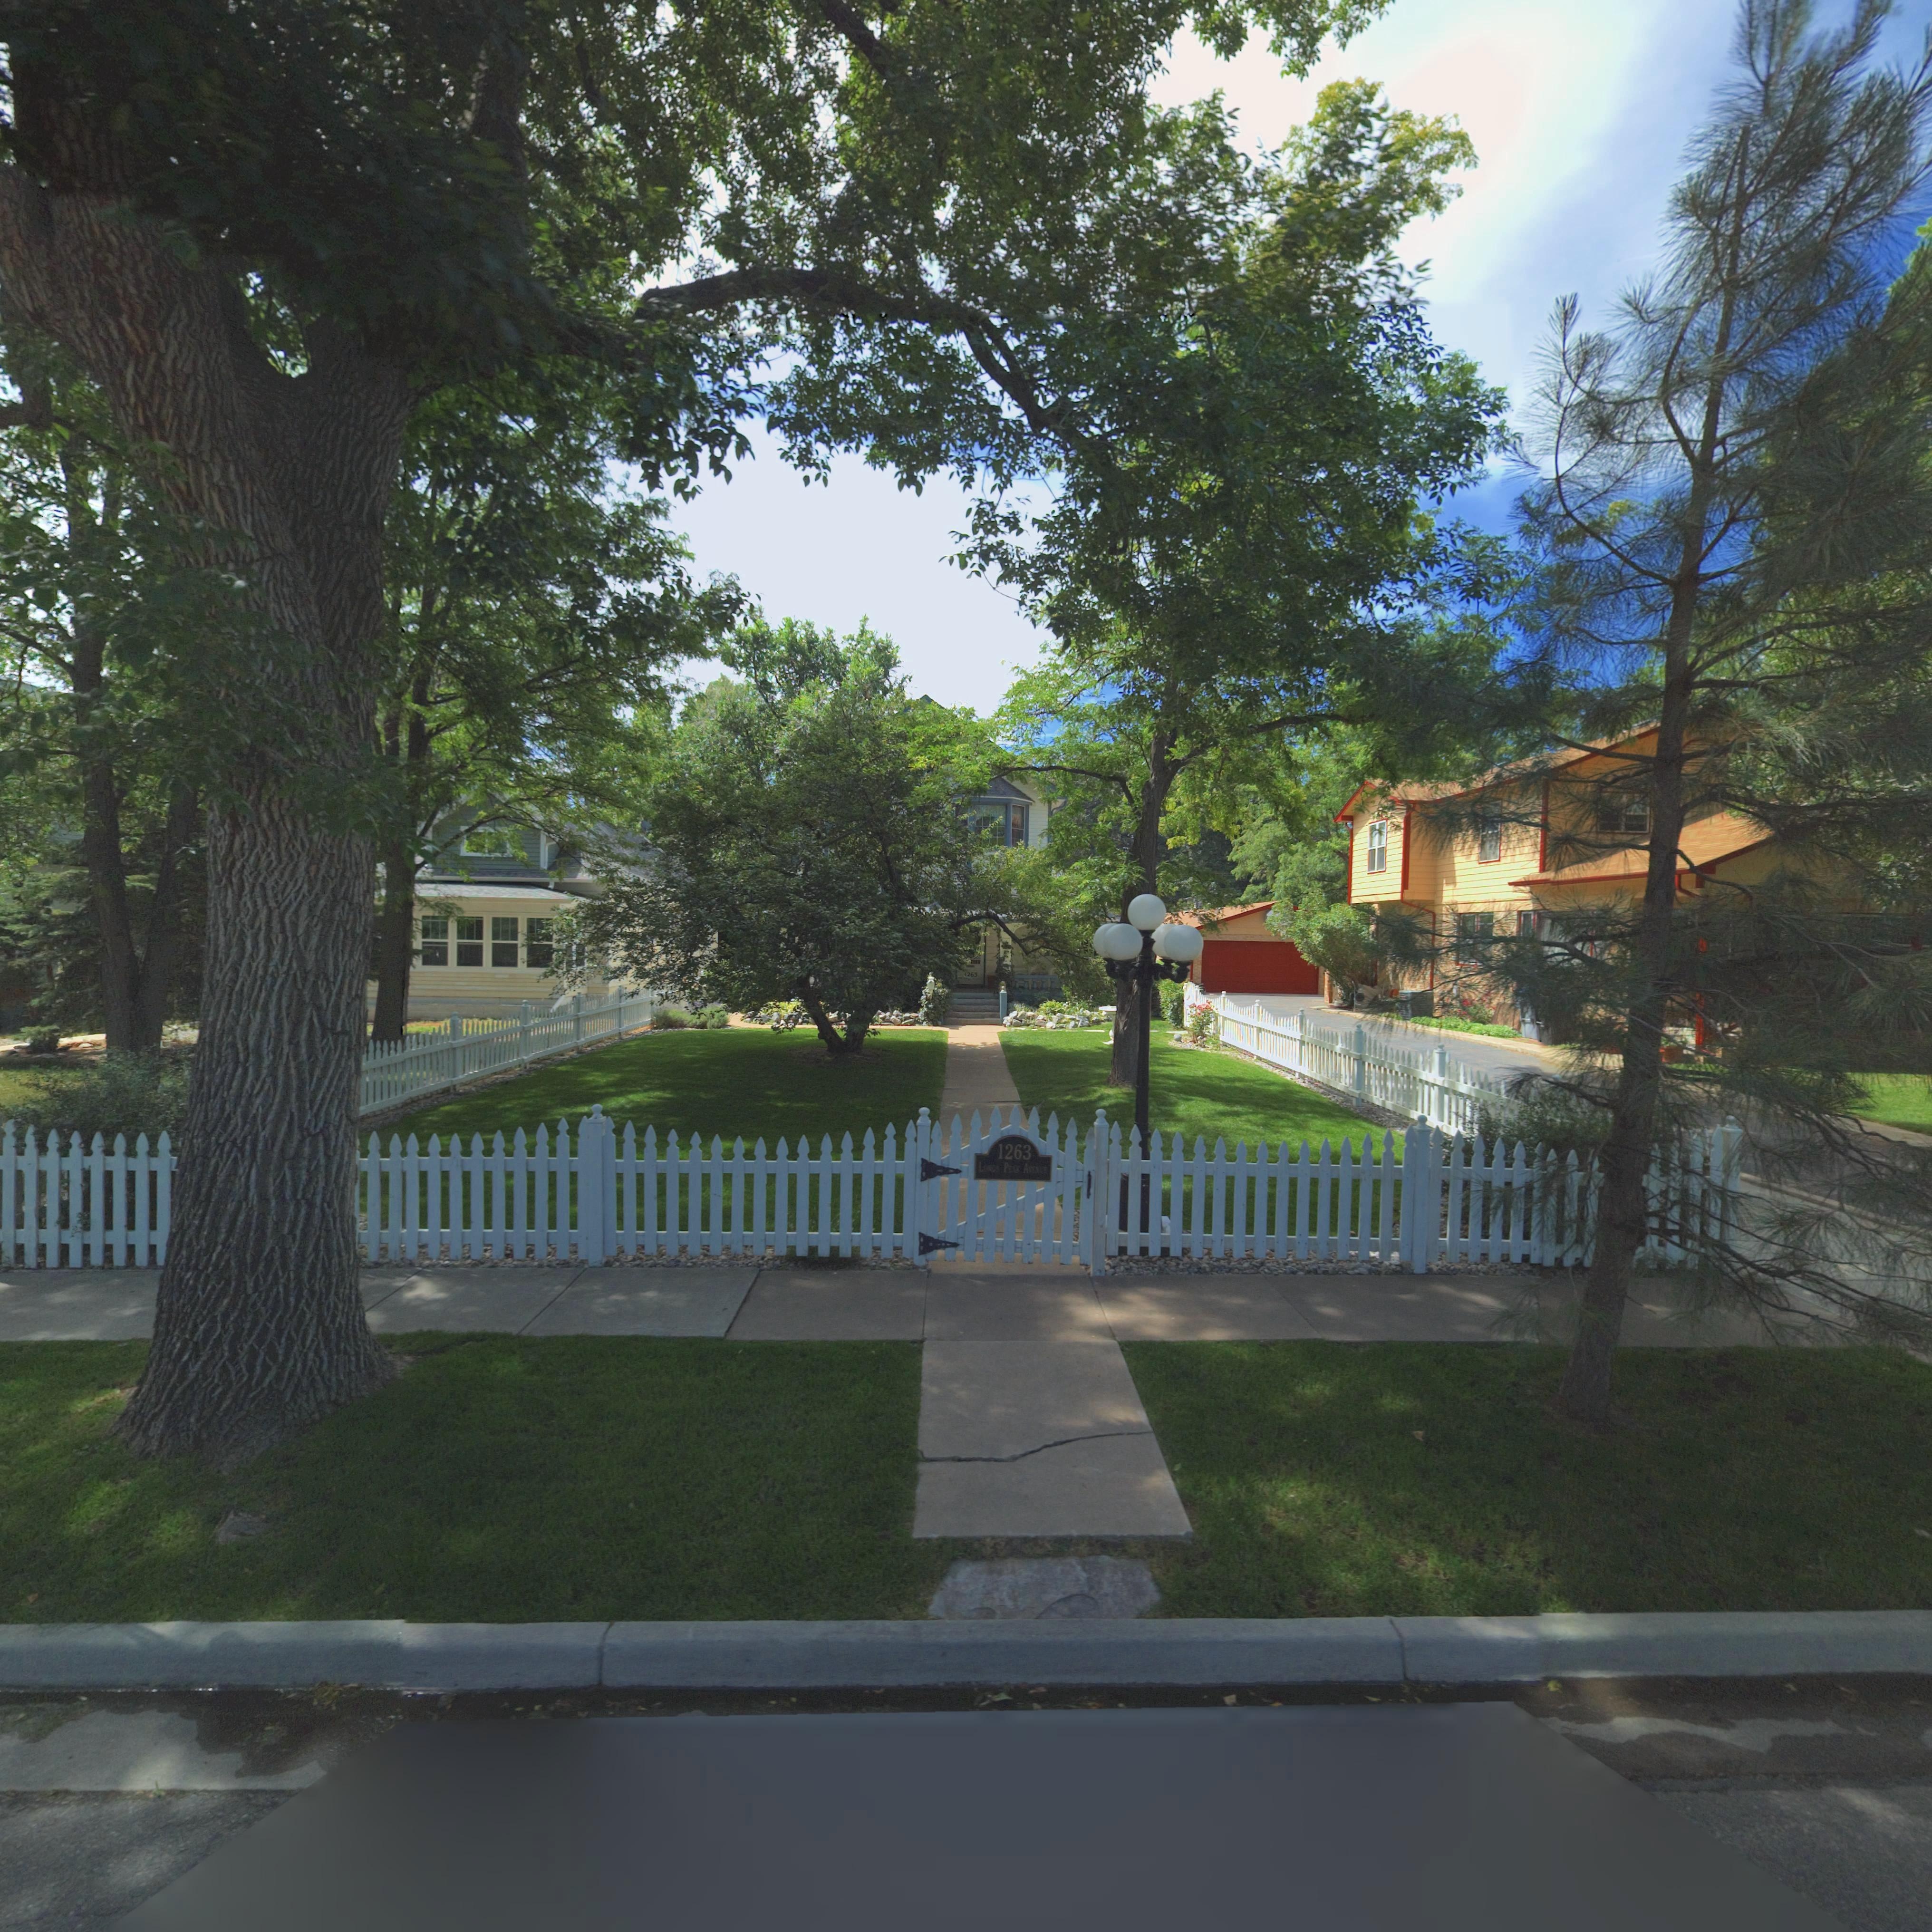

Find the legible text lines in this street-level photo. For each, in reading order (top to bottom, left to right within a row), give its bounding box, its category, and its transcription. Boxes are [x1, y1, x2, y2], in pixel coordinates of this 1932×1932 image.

[964, 971, 978, 977] StreetNumber: 1263
[997, 1142, 1032, 1160] StreetNumber: 1263
[978, 1161, 1047, 1174] StreetName: LONGS PEAK AVENUE